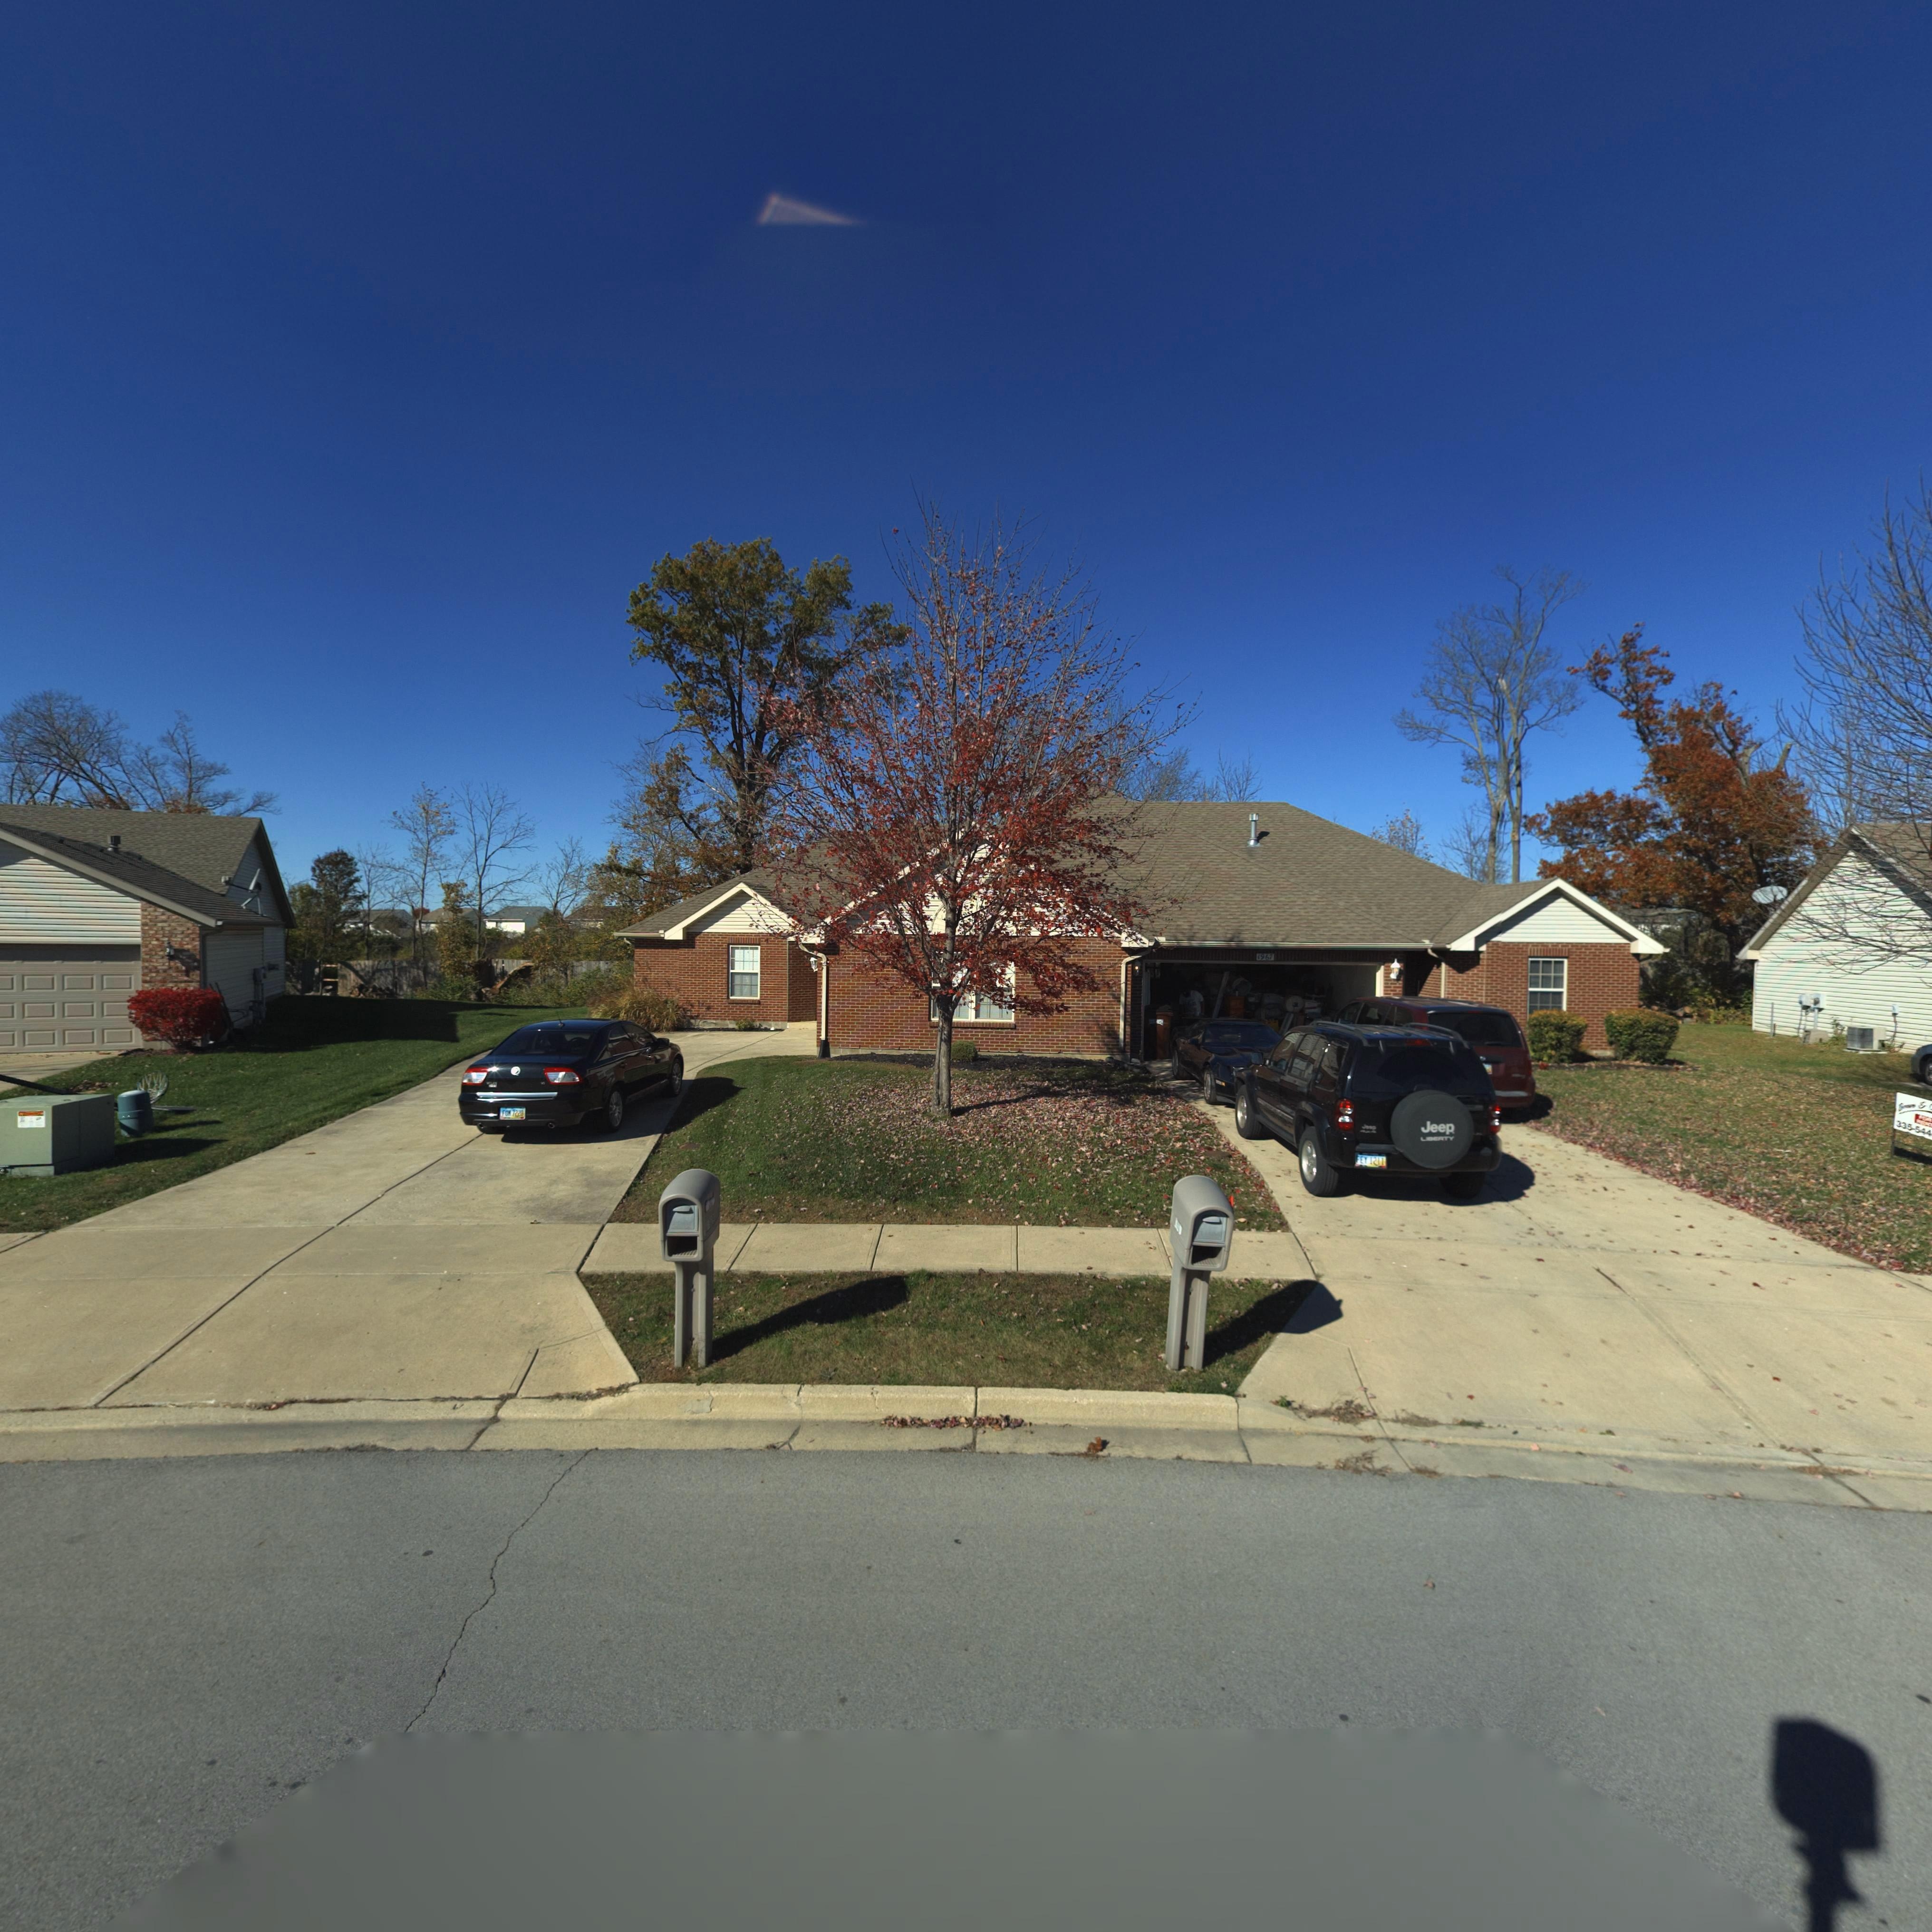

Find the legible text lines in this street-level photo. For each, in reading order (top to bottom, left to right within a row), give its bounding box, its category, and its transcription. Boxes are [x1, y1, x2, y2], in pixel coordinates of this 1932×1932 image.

[1257, 953, 1274, 961] StreetNumber: 1967